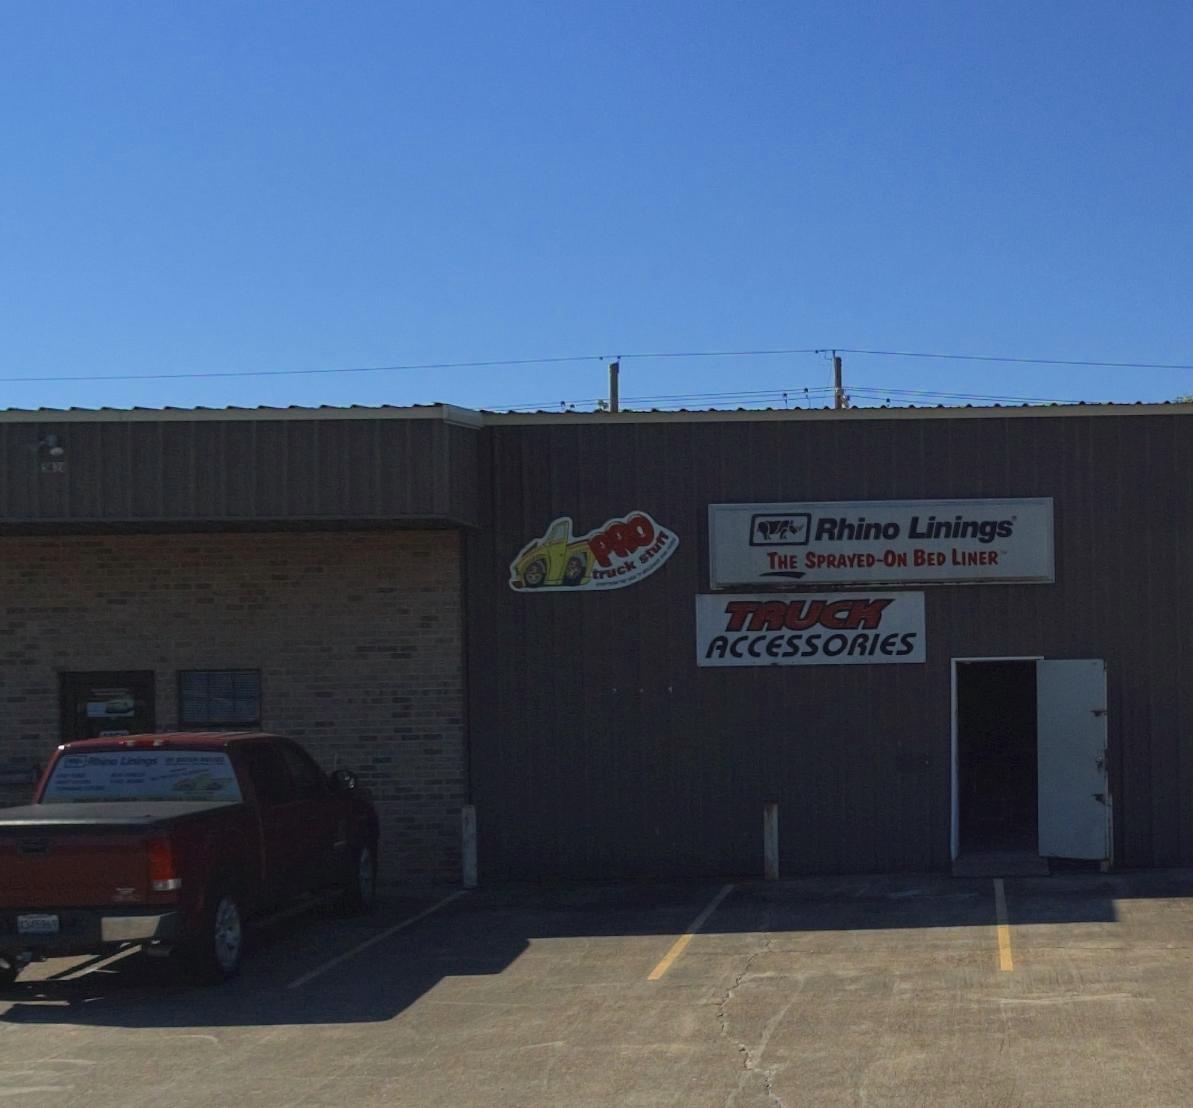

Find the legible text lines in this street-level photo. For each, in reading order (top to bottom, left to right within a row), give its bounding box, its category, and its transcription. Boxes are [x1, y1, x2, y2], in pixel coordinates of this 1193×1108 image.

[584, 509, 663, 572] None: PRO
[589, 529, 674, 583] None: truck stuff
[763, 544, 1001, 573] None: THE SPRAYED-ON BED LINER
[811, 511, 1016, 546] BusinessName: Rhino Linings
[721, 596, 899, 634] None: TRUCK
[702, 630, 920, 661] None: ACCESSORIES
[117, 754, 130, 767] None: L